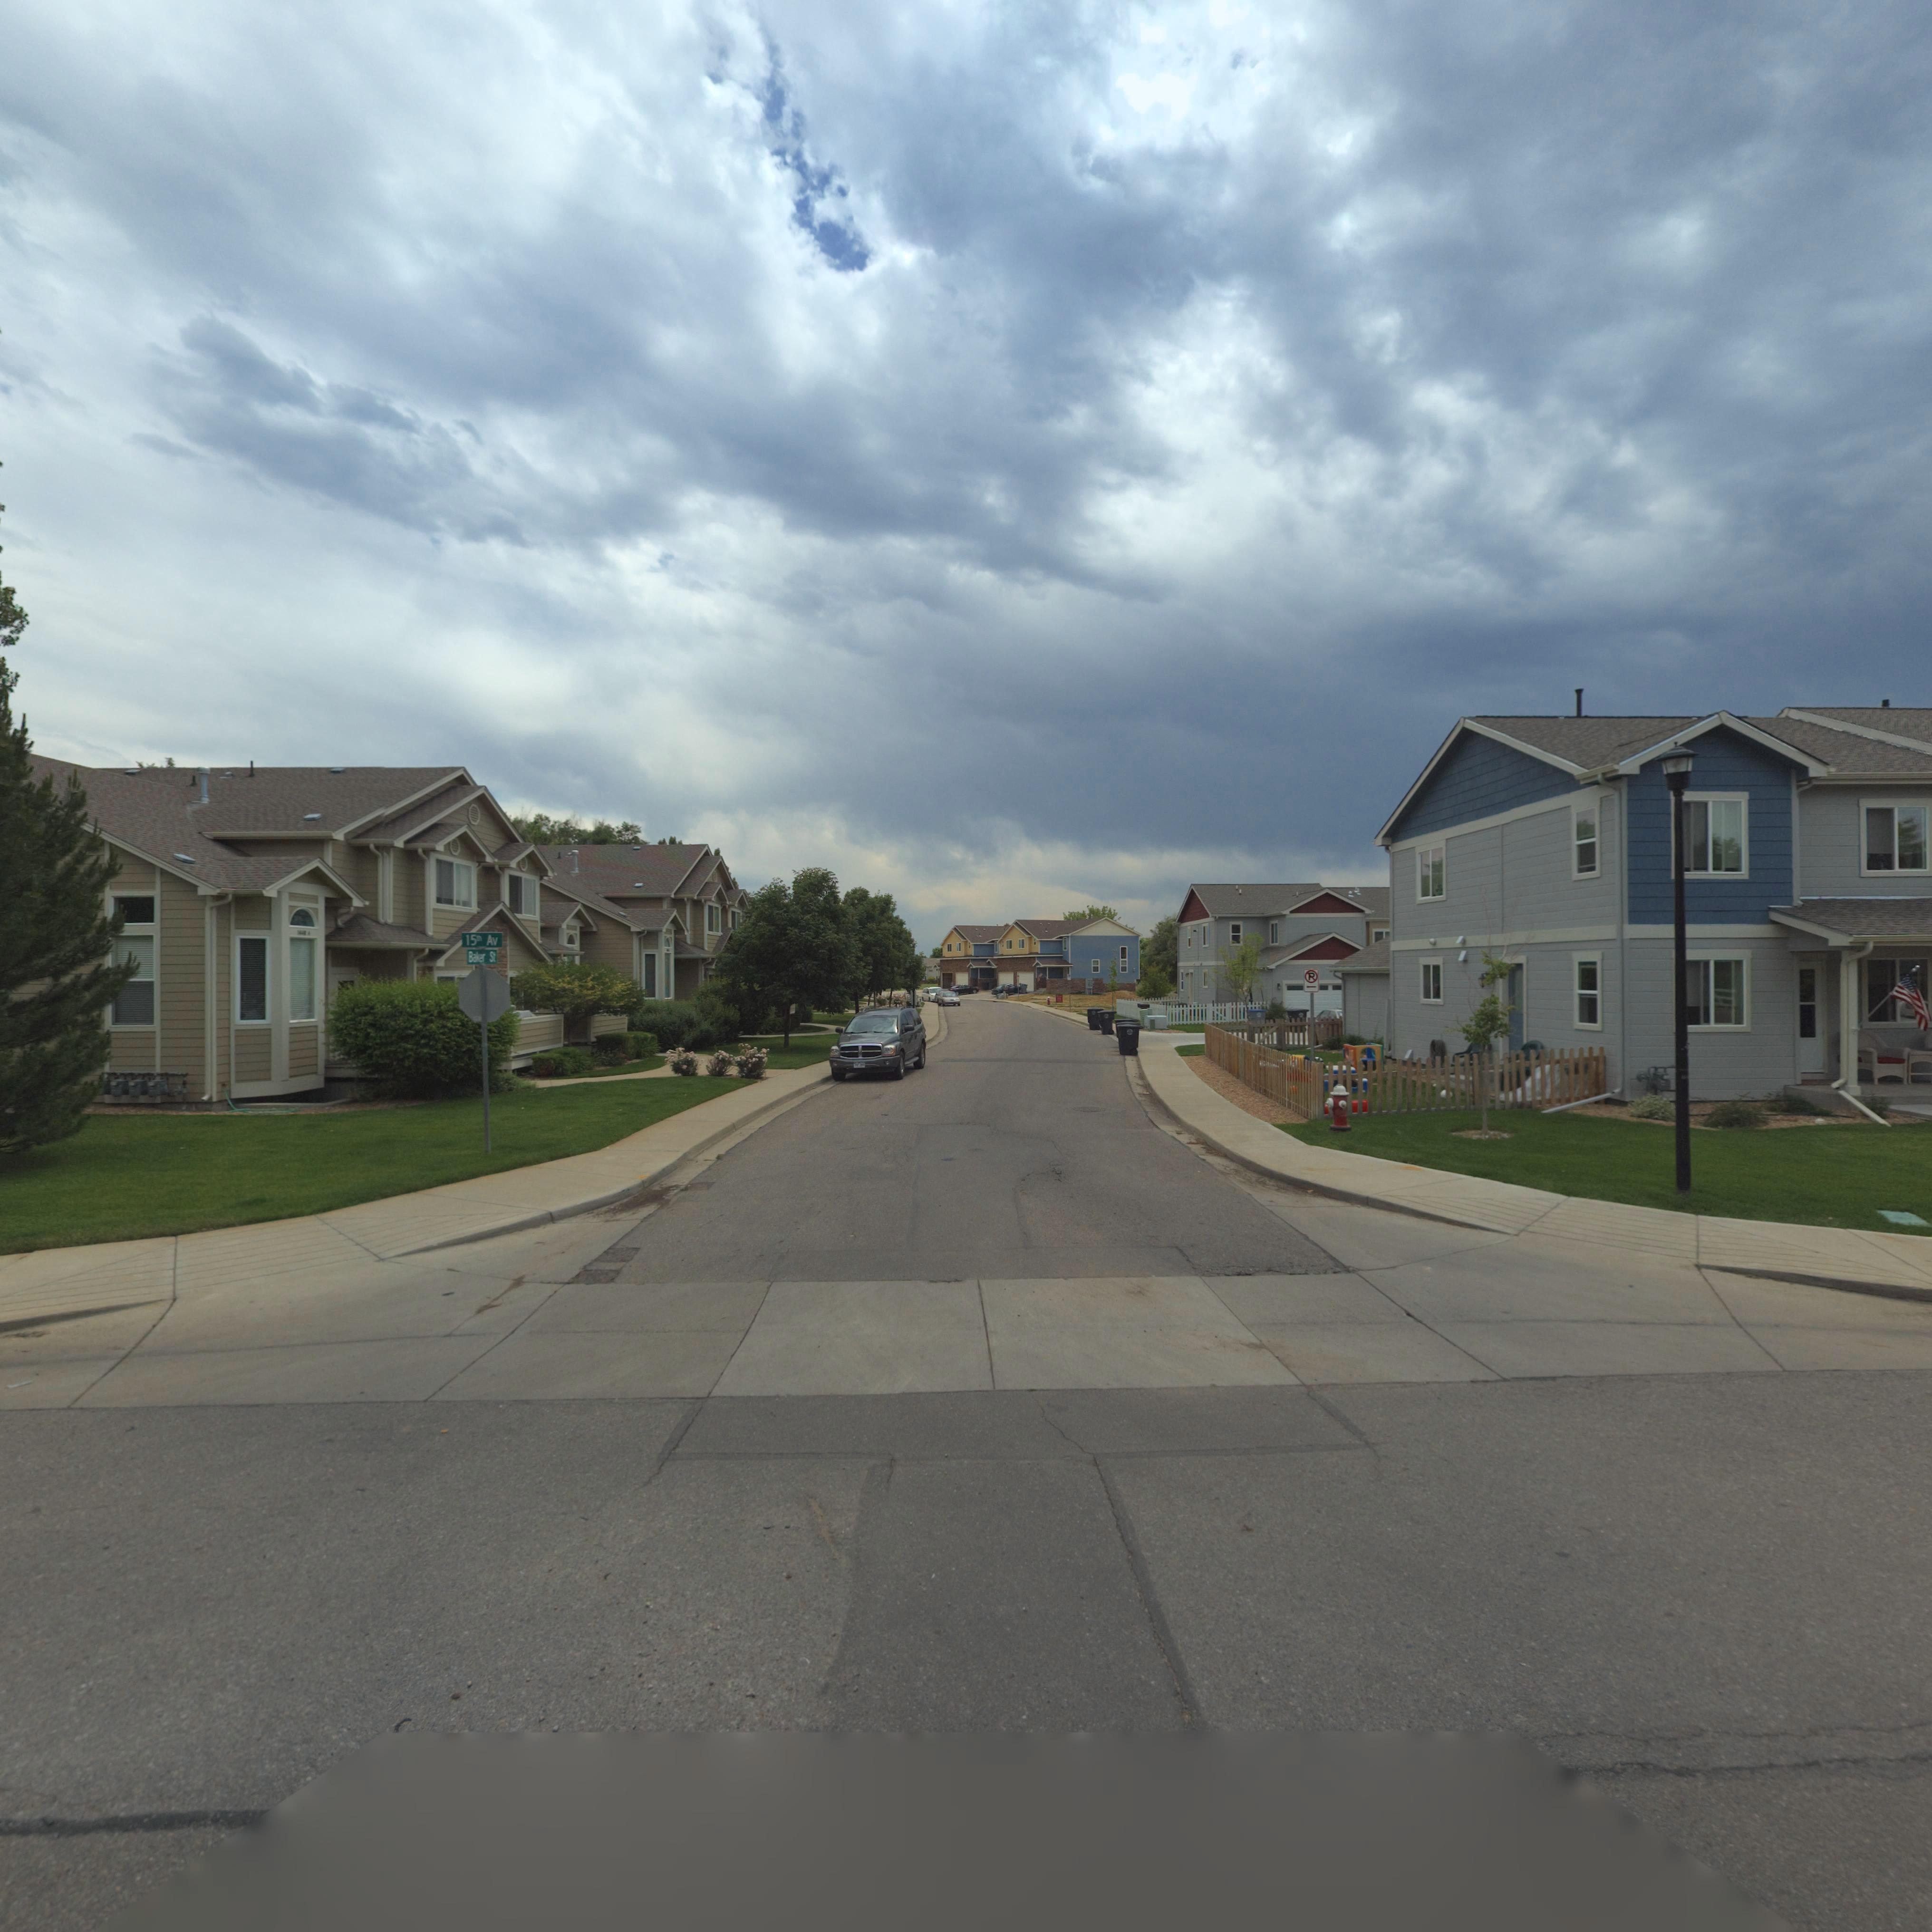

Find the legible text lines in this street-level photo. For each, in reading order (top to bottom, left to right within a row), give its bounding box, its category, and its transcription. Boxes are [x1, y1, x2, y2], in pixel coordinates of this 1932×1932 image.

[296, 928, 311, 936] StreetNumber: 1**8 *
[465, 934, 498, 946] StreetName: 15th Av
[468, 950, 496, 963] StreetName: Baker St